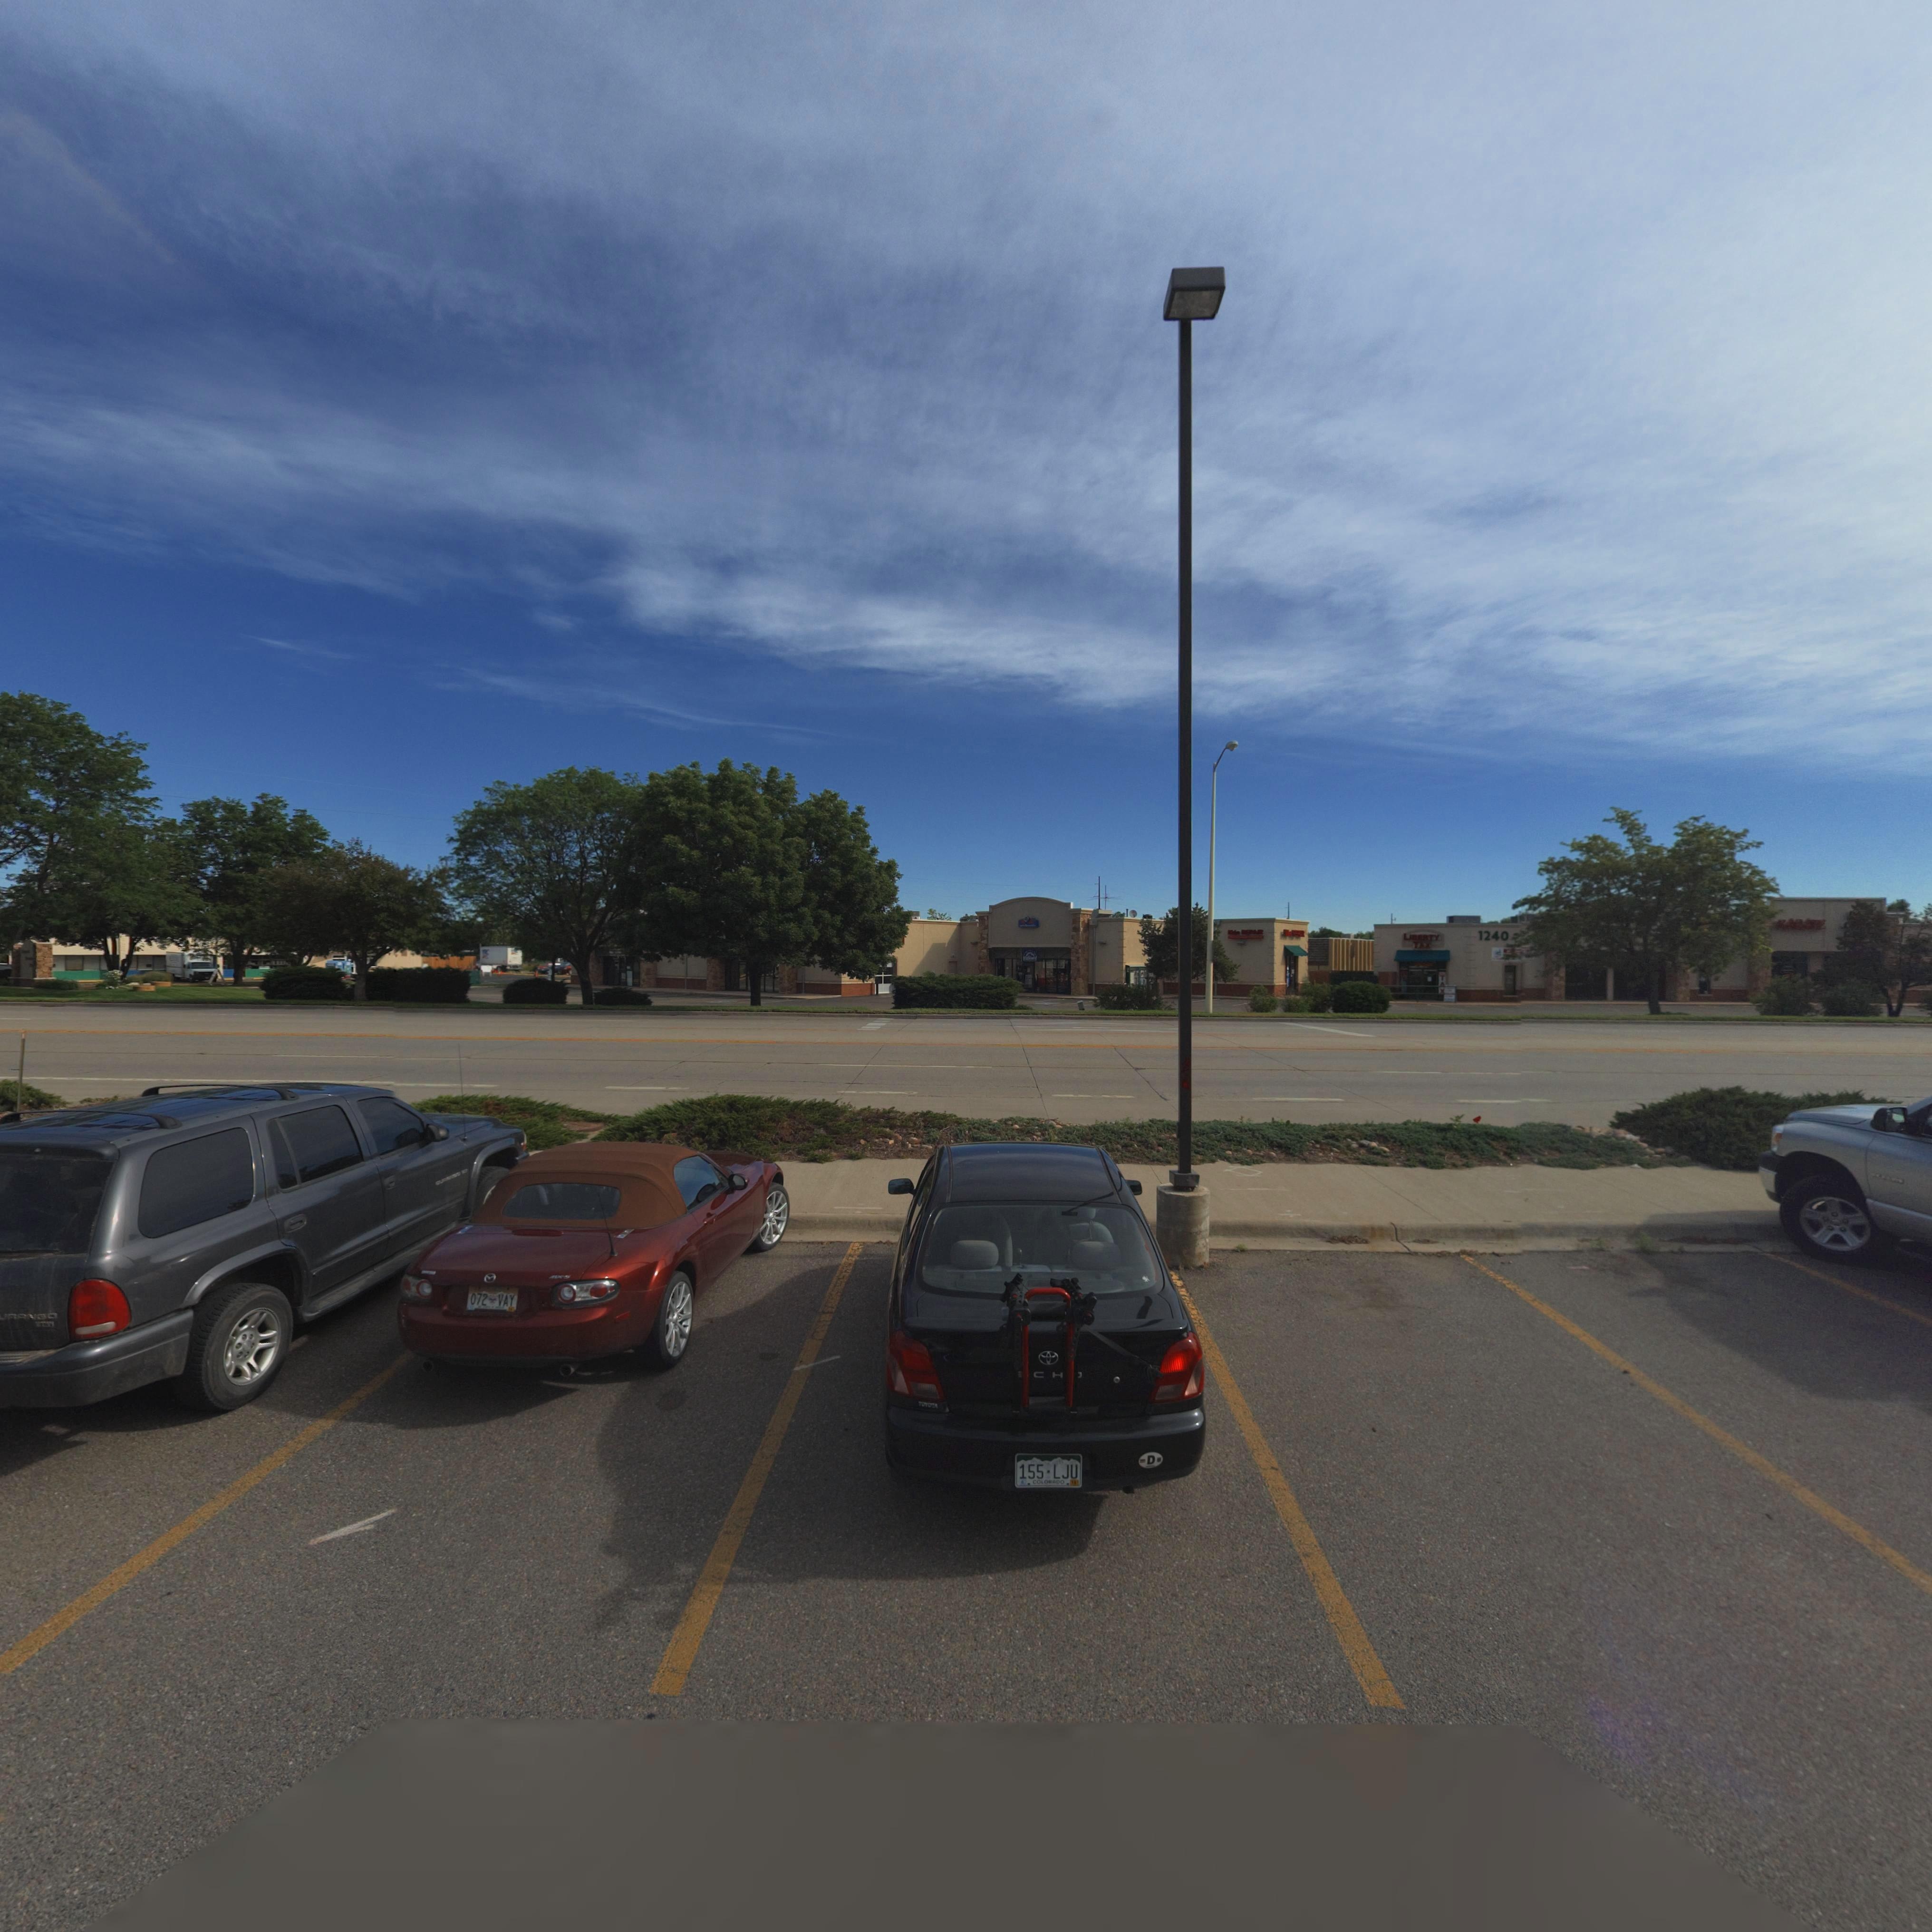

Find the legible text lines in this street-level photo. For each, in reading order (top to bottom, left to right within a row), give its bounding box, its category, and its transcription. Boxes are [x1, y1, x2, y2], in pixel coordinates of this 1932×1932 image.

[1030, 919, 1033, 923] BusinessName: D
[1773, 918, 1827, 931] BusinessName: KA*A*E
[1227, 929, 1240, 934] BusinessName: M**c
[1241, 929, 1263, 934] BusinessName: ****IR
[1403, 933, 1439, 941] BusinessName: LIBERTY
[1478, 930, 1509, 941] StreetNumber: 1240
[1413, 941, 1430, 948] BusinessName: TAX
[1439, 975, 1445, 994] BusinessName: TAX